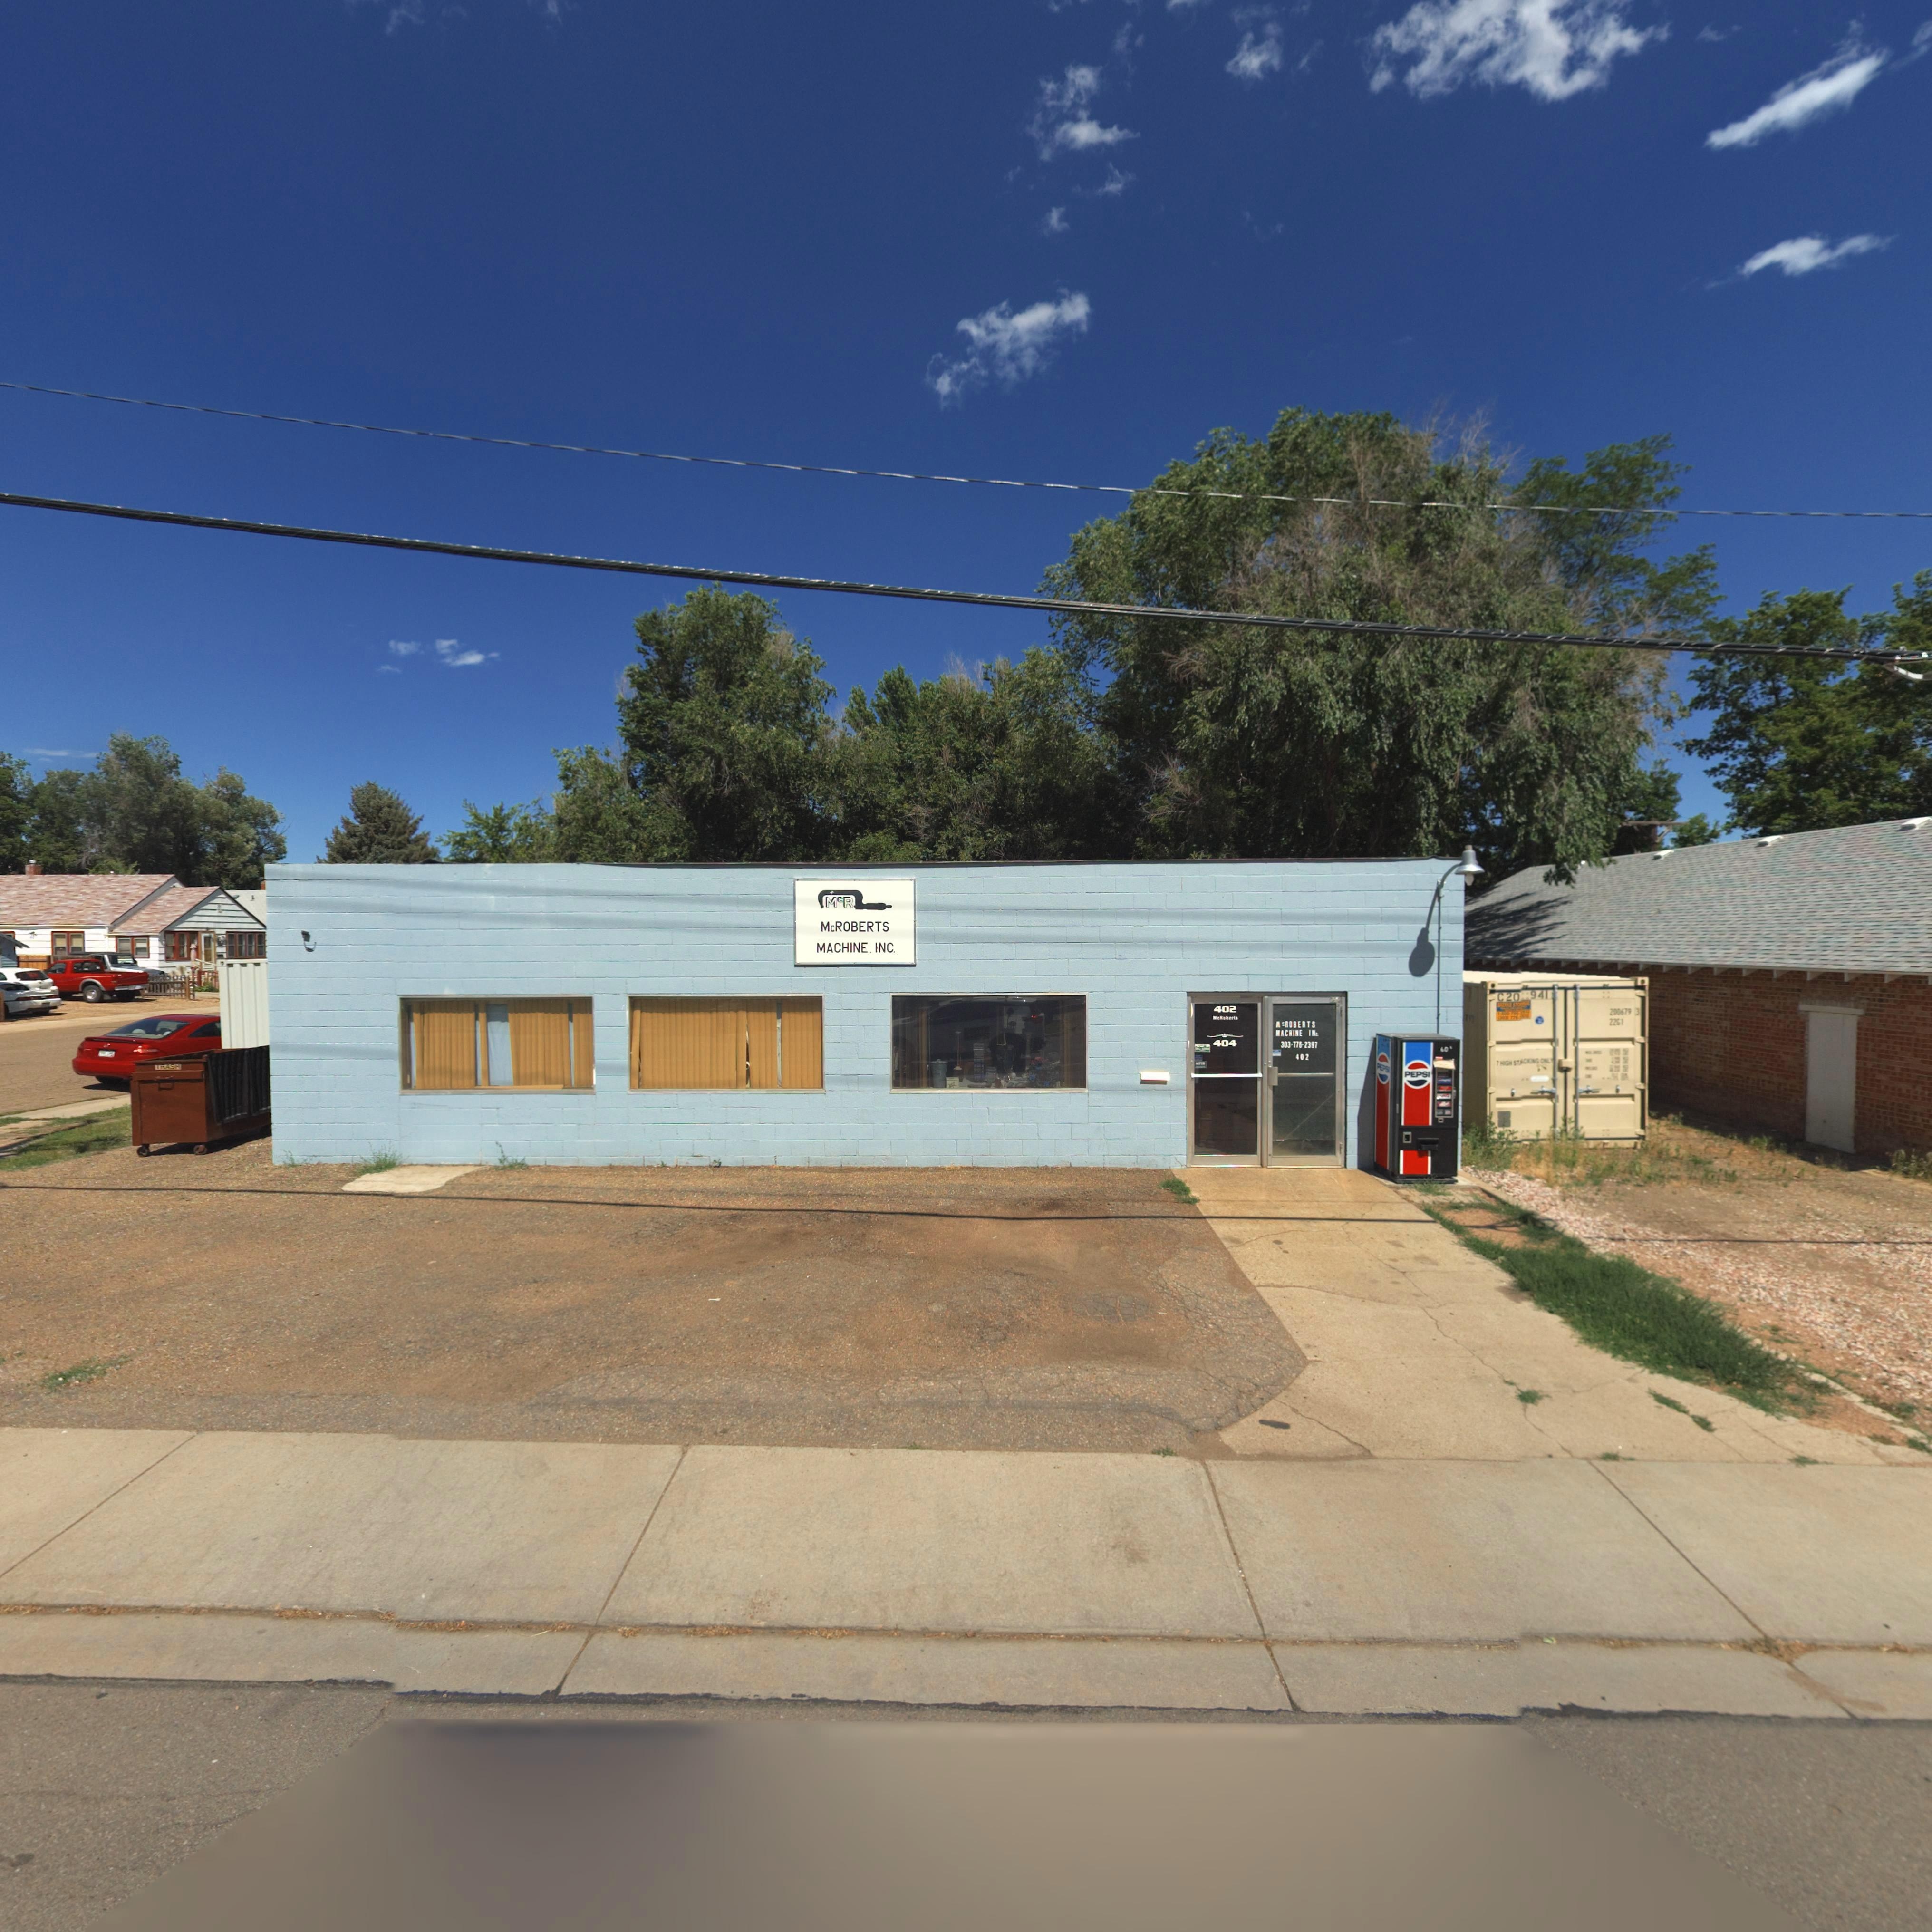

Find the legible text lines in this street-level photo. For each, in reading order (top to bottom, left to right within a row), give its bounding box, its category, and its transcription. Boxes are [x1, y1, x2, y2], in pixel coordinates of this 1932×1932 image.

[825, 896, 853, 908] BusinessName: McR
[820, 921, 889, 932] BusinessName: McROBERTS
[816, 941, 895, 953] BusinessName: MACHINE INC
[1213, 1005, 1236, 1013] StreetNumber: 402
[1212, 1015, 1238, 1020] BusinessName: McRoberts
[1275, 1021, 1315, 1028] BusinessName: McROBERTS
[1275, 1029, 1319, 1036] BusinessName: *MACHINE INc
[1212, 1039, 1237, 1047] StreetNumber: 404
[1295, 1053, 1309, 1061] StreetNumber: 402